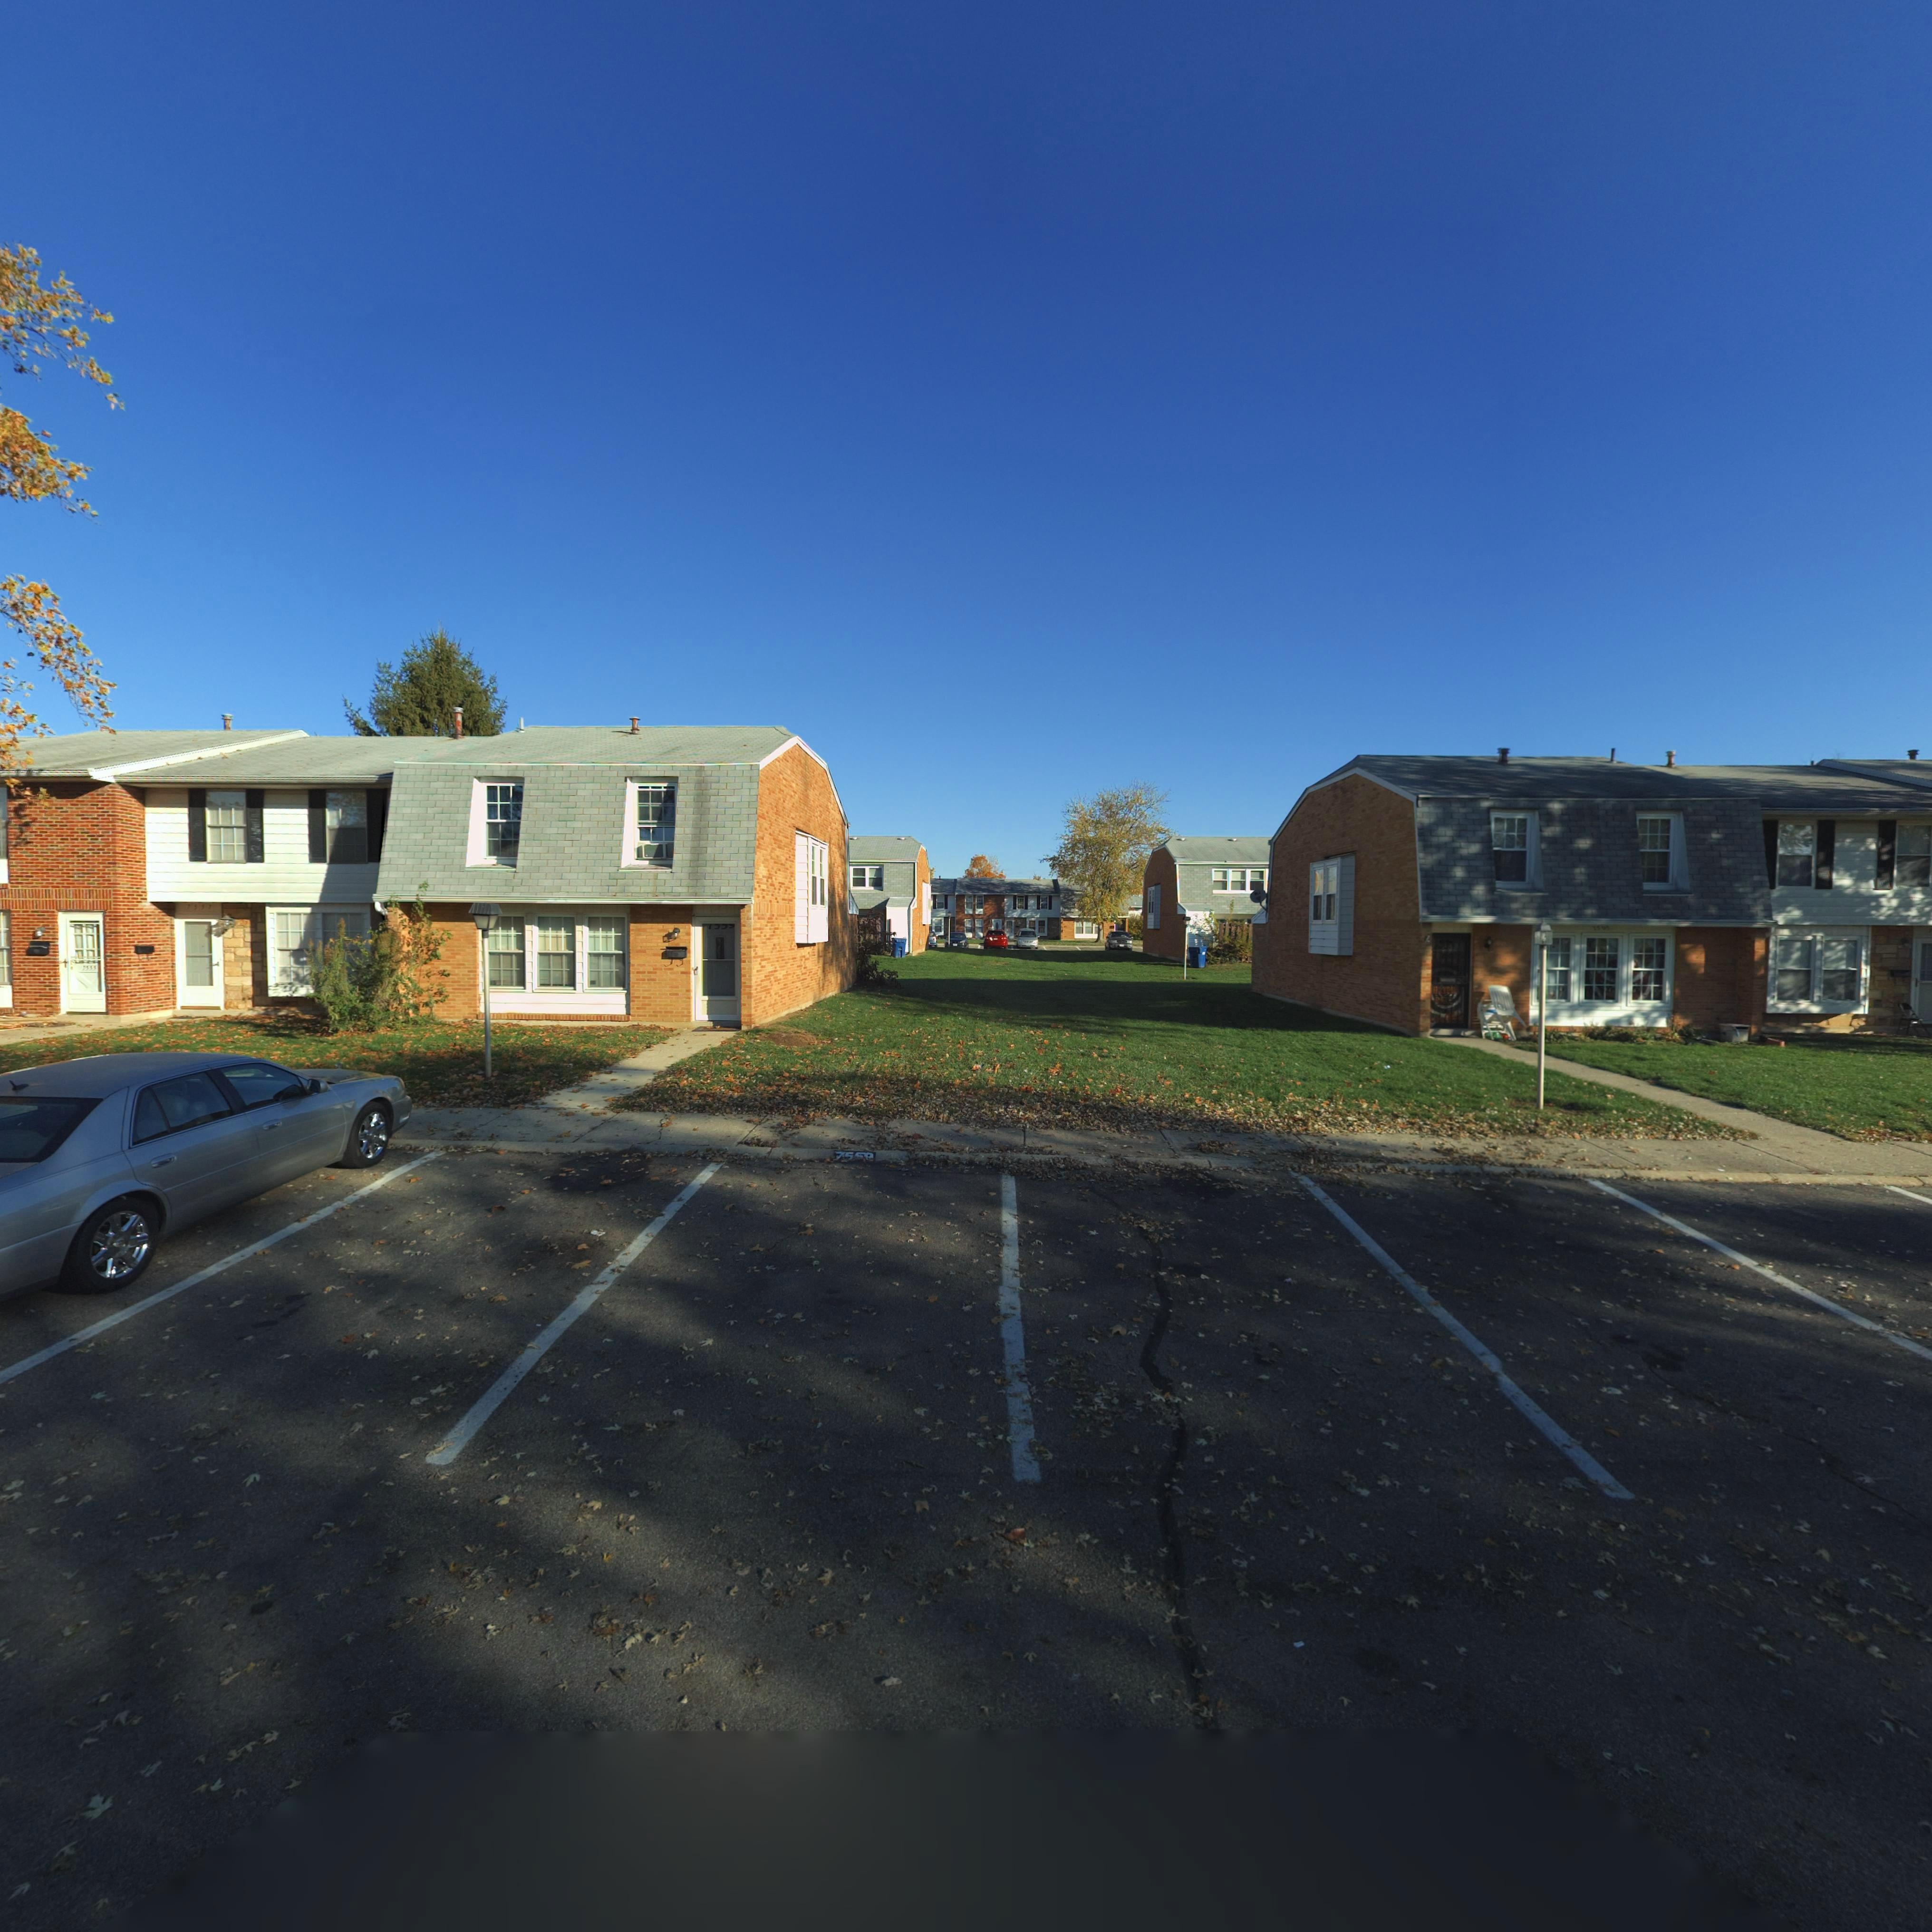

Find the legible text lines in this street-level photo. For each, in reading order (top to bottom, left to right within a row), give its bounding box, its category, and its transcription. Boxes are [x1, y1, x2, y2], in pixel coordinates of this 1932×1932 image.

[185, 903, 213, 910] StreetNumber: 7557
[1591, 924, 1611, 931] StreetNumber: 7563
[81, 965, 97, 971] StreetNumber: 7555
[834, 1150, 874, 1162] StreetNumber: 75**